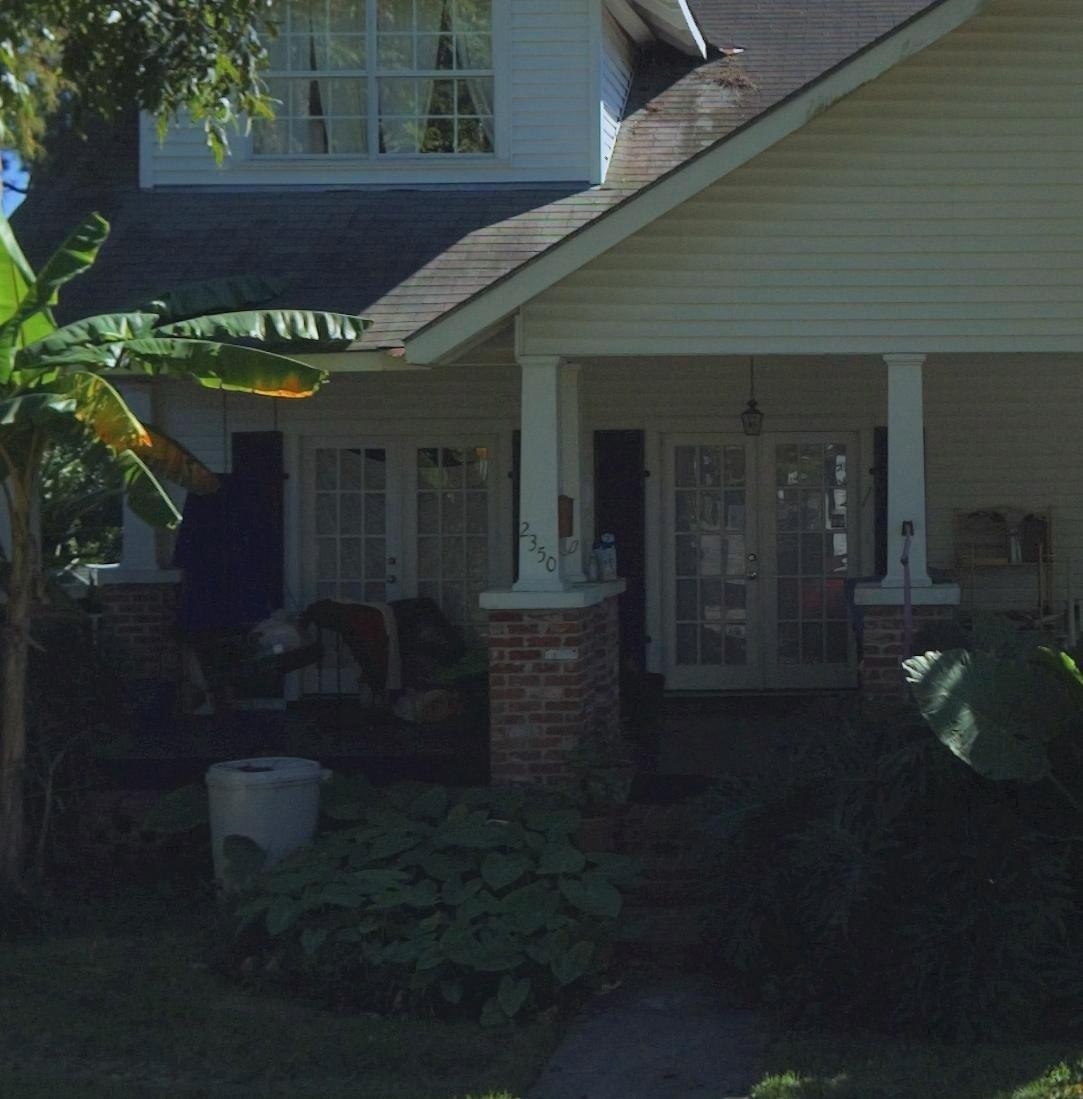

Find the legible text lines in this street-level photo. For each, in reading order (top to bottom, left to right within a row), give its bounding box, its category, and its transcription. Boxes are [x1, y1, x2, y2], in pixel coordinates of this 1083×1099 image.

[518, 519, 559, 574] StreetNumber: 2350